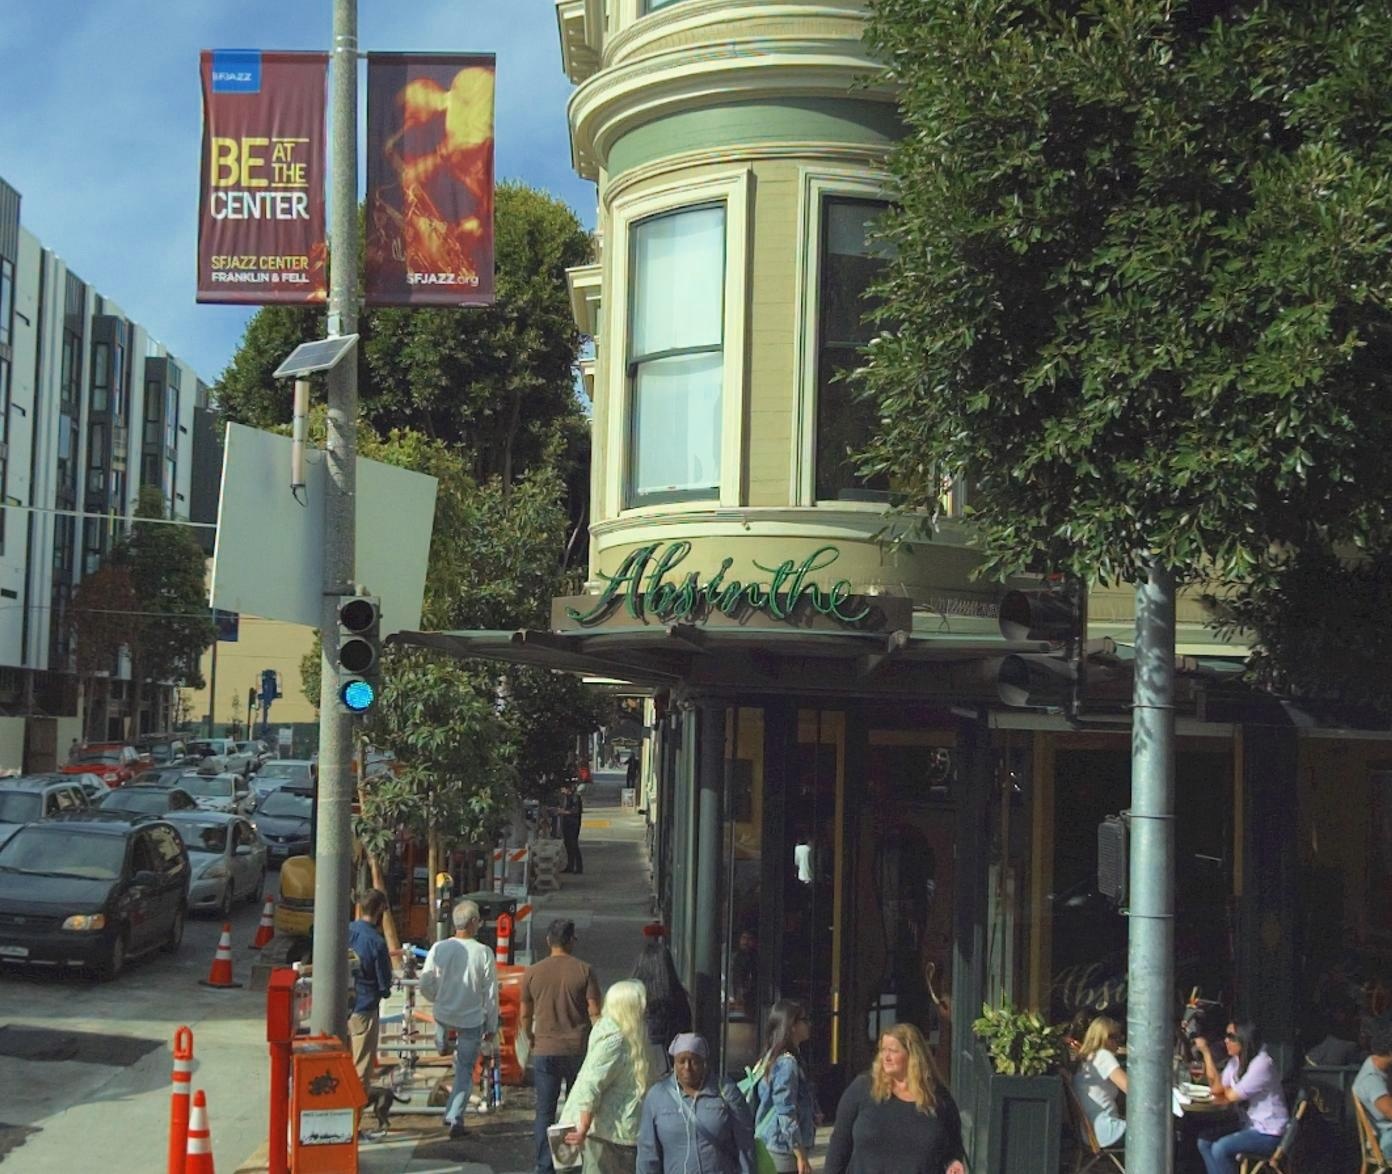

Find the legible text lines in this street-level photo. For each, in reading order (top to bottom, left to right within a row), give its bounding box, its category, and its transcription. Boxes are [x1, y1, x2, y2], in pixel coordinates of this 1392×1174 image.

[222, 69, 255, 84] None: JAZZ
[209, 133, 271, 189] None: BE
[269, 139, 299, 165] None: AT
[270, 161, 310, 186] None: THE
[208, 189, 314, 223] None: CENTER
[210, 253, 312, 272] None: SFJAZZ CENTER
[209, 270, 313, 285] None: FRANKLIN & FELL
[404, 270, 482, 290] None: SFJAZZ.org
[571, 539, 883, 625] BusinessName: Absinthe
[1030, 957, 1115, 1014] BusinessName: Abs